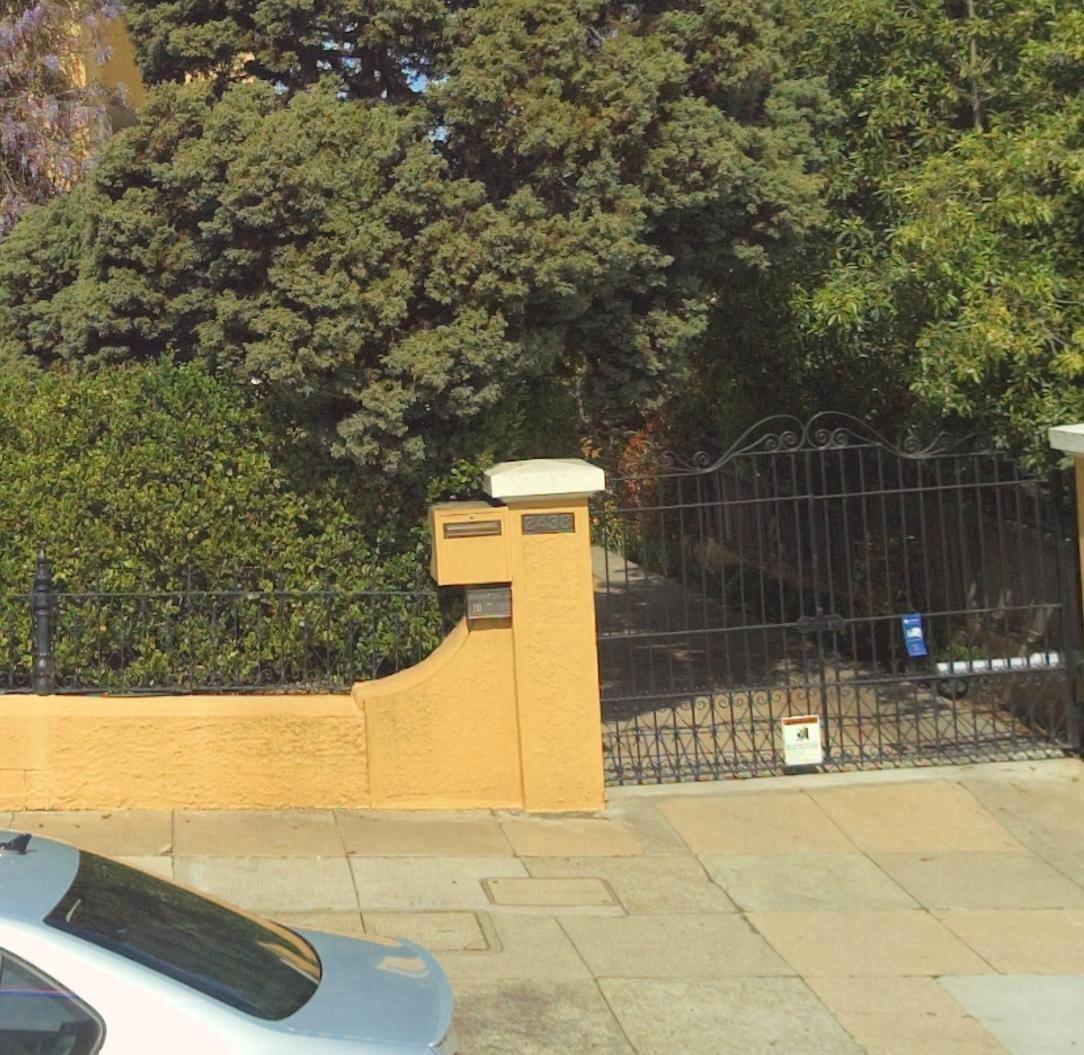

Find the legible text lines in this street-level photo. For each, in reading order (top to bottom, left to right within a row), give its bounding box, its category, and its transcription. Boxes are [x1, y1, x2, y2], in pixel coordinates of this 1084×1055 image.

[522, 512, 574, 532] StreetNumber: 2438